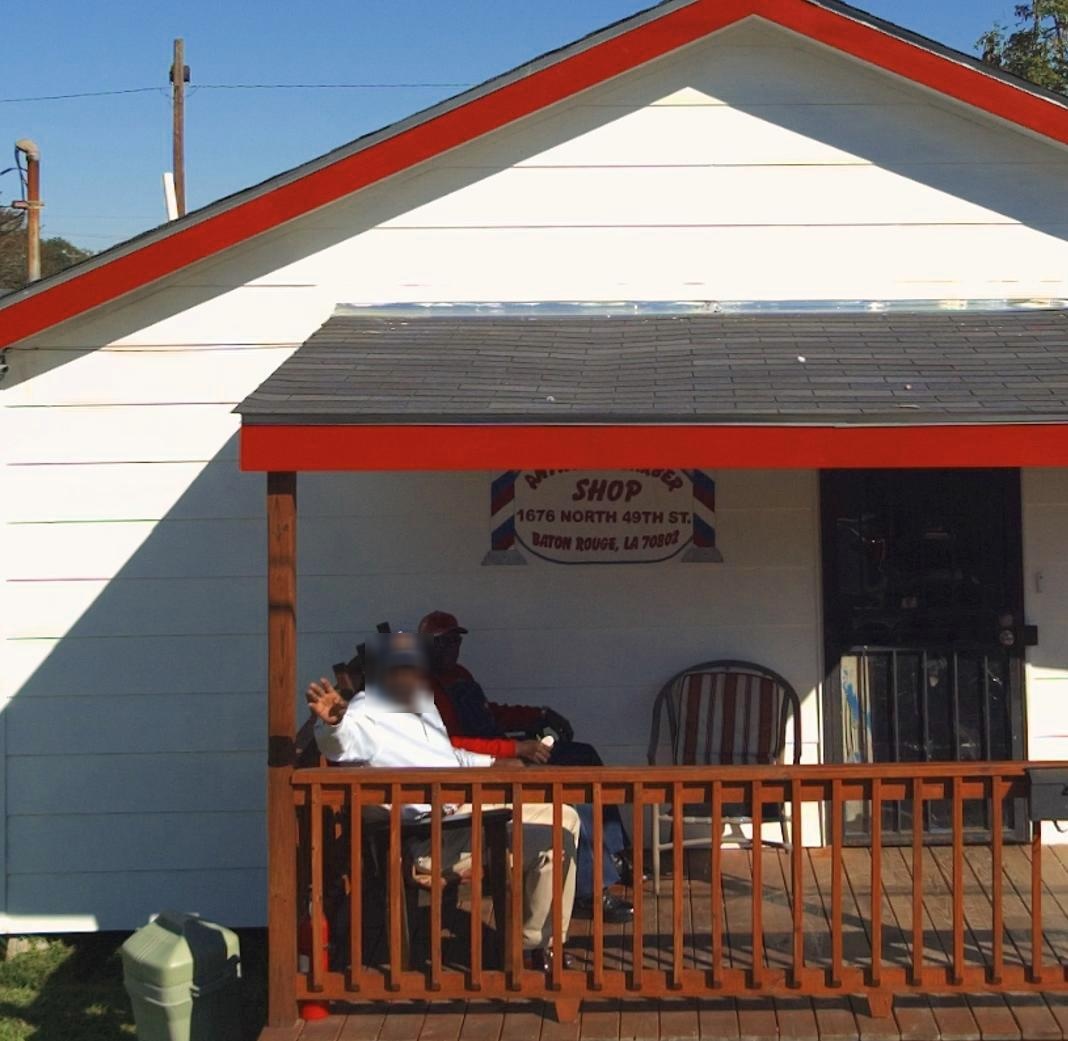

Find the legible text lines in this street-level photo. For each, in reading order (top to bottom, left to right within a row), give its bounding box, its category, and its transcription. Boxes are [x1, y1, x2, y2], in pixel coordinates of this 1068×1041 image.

[570, 476, 642, 502] None: SHOP
[516, 507, 557, 524] StreetNumber: 1676
[558, 508, 690, 524] StreetName: NORTH 49TH ST
[530, 529, 680, 552] None: BATON ROUGE, LA 70802